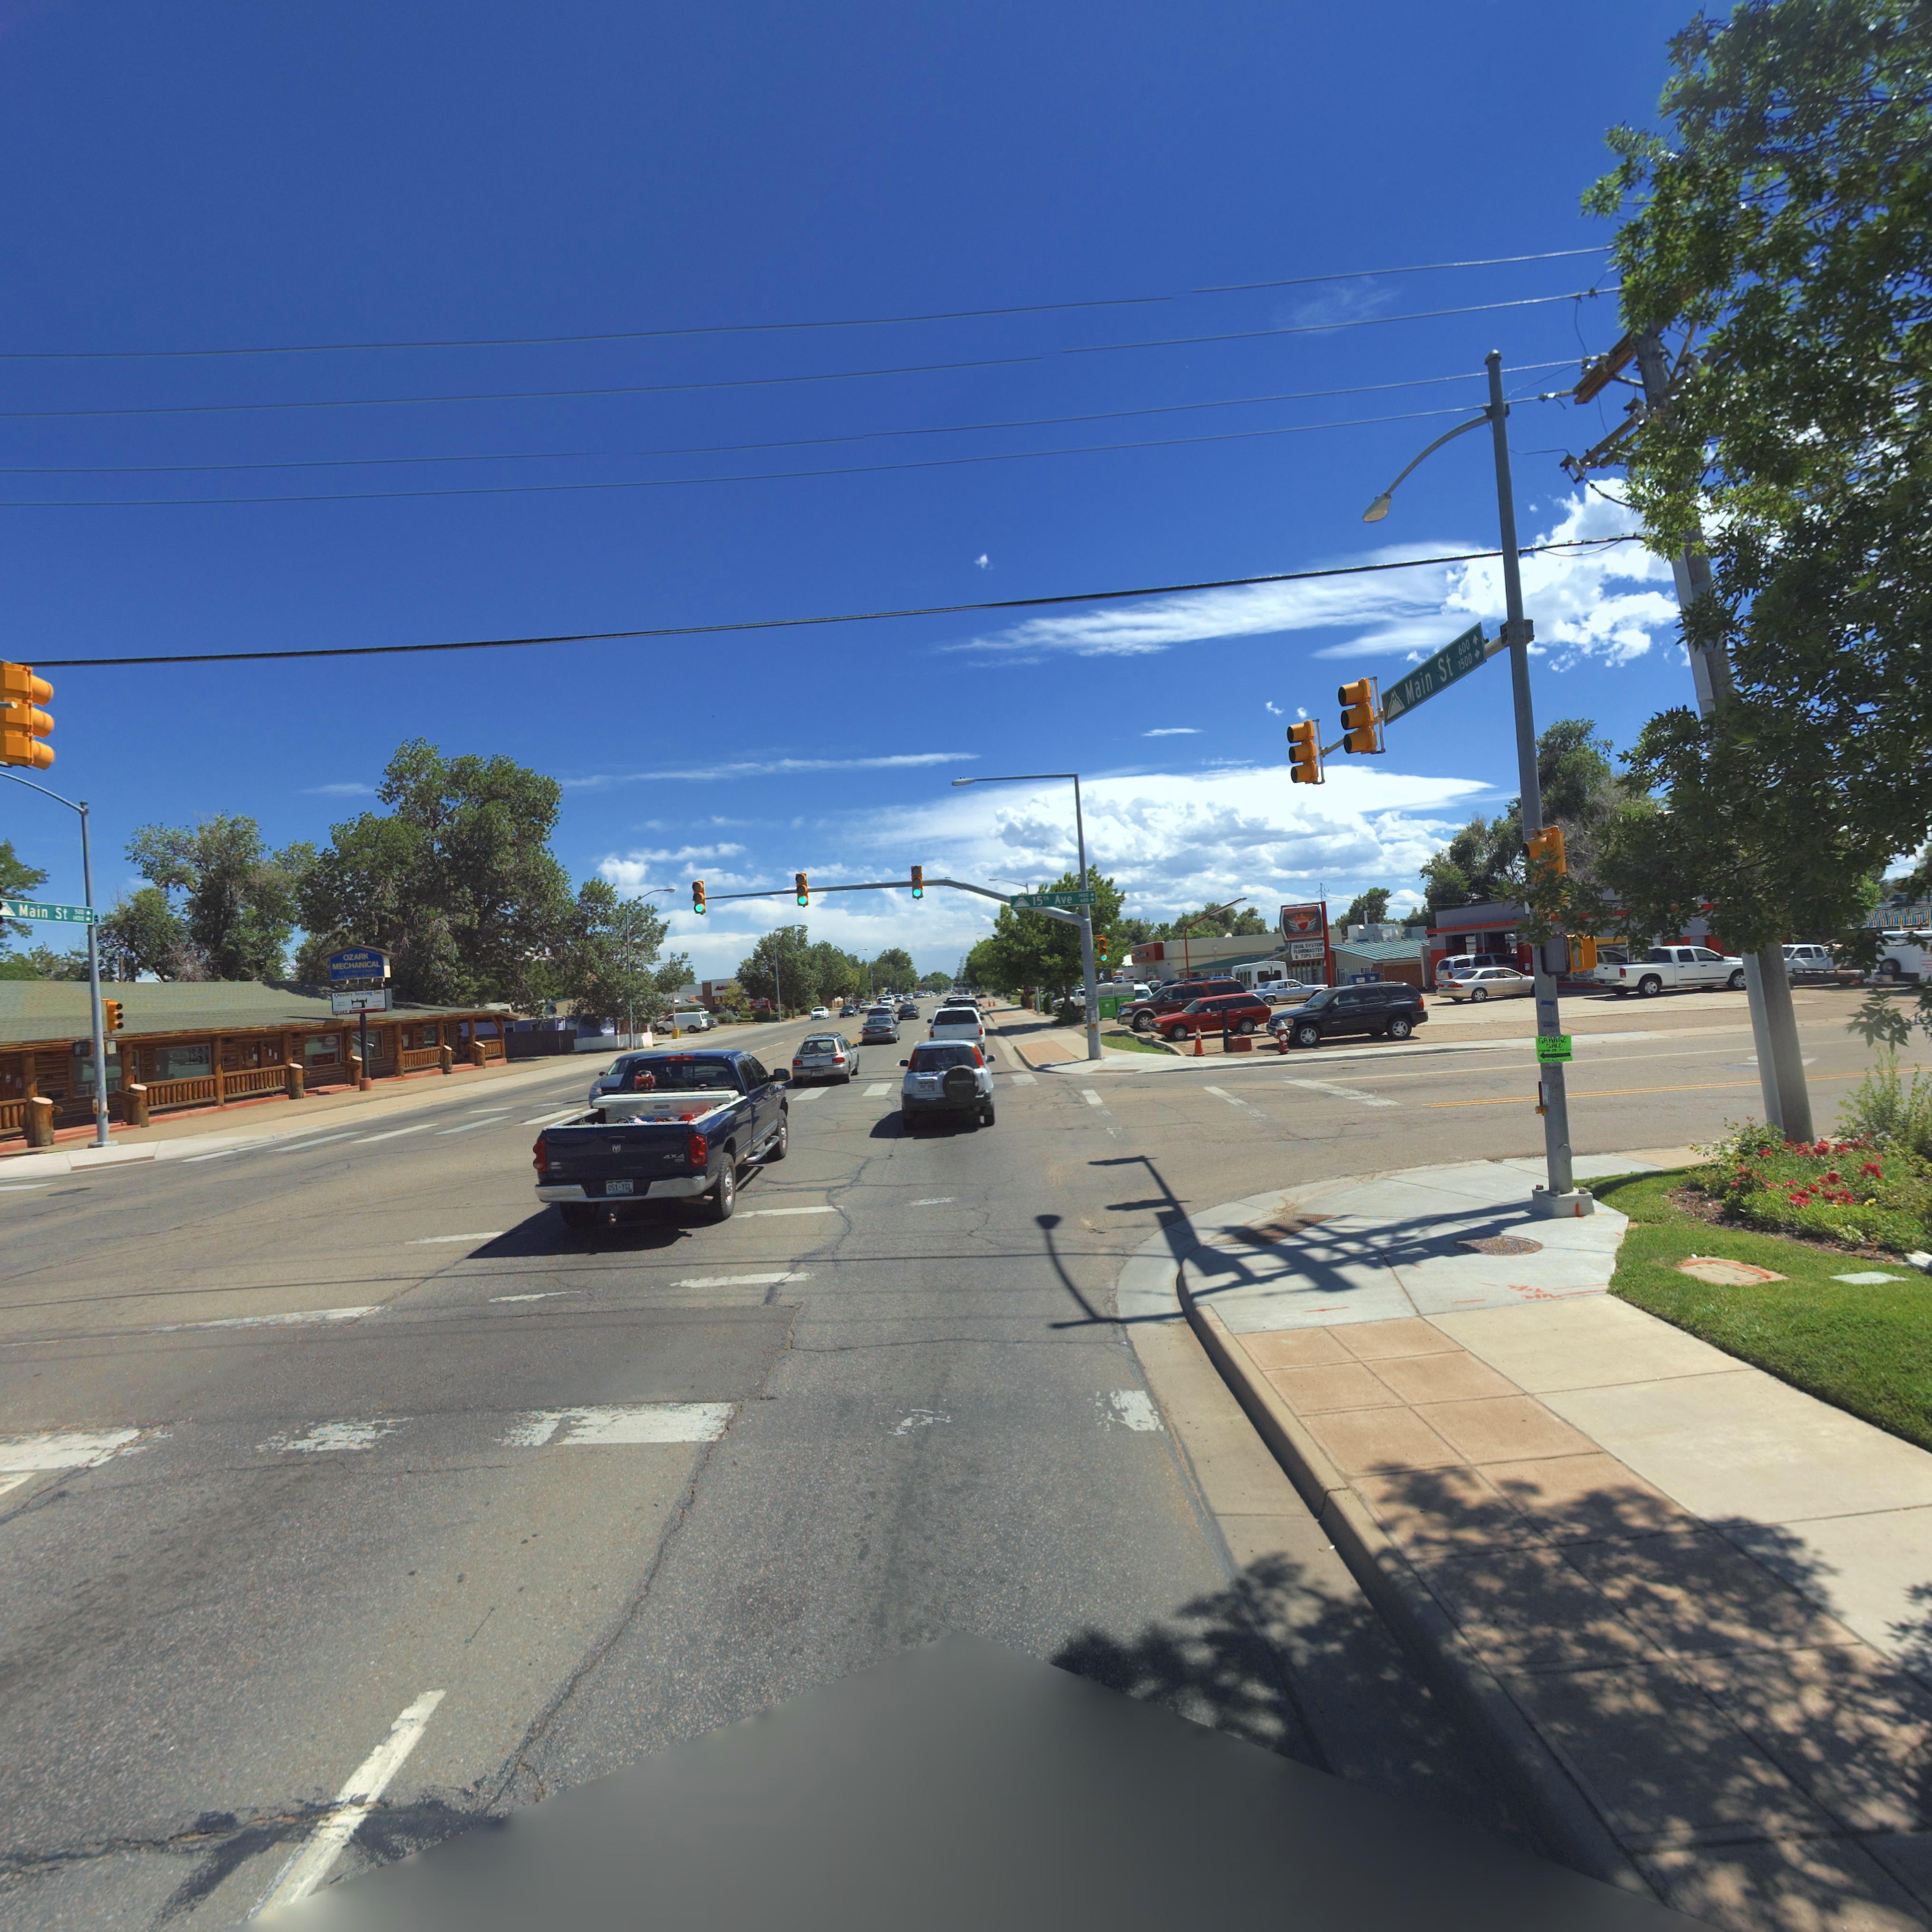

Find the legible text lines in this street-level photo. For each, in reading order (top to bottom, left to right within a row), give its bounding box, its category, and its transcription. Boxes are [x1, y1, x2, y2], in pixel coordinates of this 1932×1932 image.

[1458, 638, 1470, 656] StreetNumberRange: 600
[1458, 647, 1481, 670] StreetNumberRange: 1500->
[1403, 653, 1455, 705] StreetName: Main St
[1078, 892, 1088, 897] StreetNumberRange: 1400
[1033, 895, 1073, 906] StreetName: 15th Ave
[1080, 898, 1094, 902] StreetNumberRange: 600->
[19, 904, 68, 920] StreetName: Main St
[75, 908, 85, 915] StreetNumberRange: 500
[73, 915, 91, 922] StreetNumberRange: 1*00->
[342, 953, 369, 961] BusinessName: OZARK
[332, 960, 381, 970] BusinessName: MECHANICAL
[715, 985, 727, 990] BusinessName: Ad*
[334, 990, 383, 998] BusinessName: ***lity S*wing I*c.